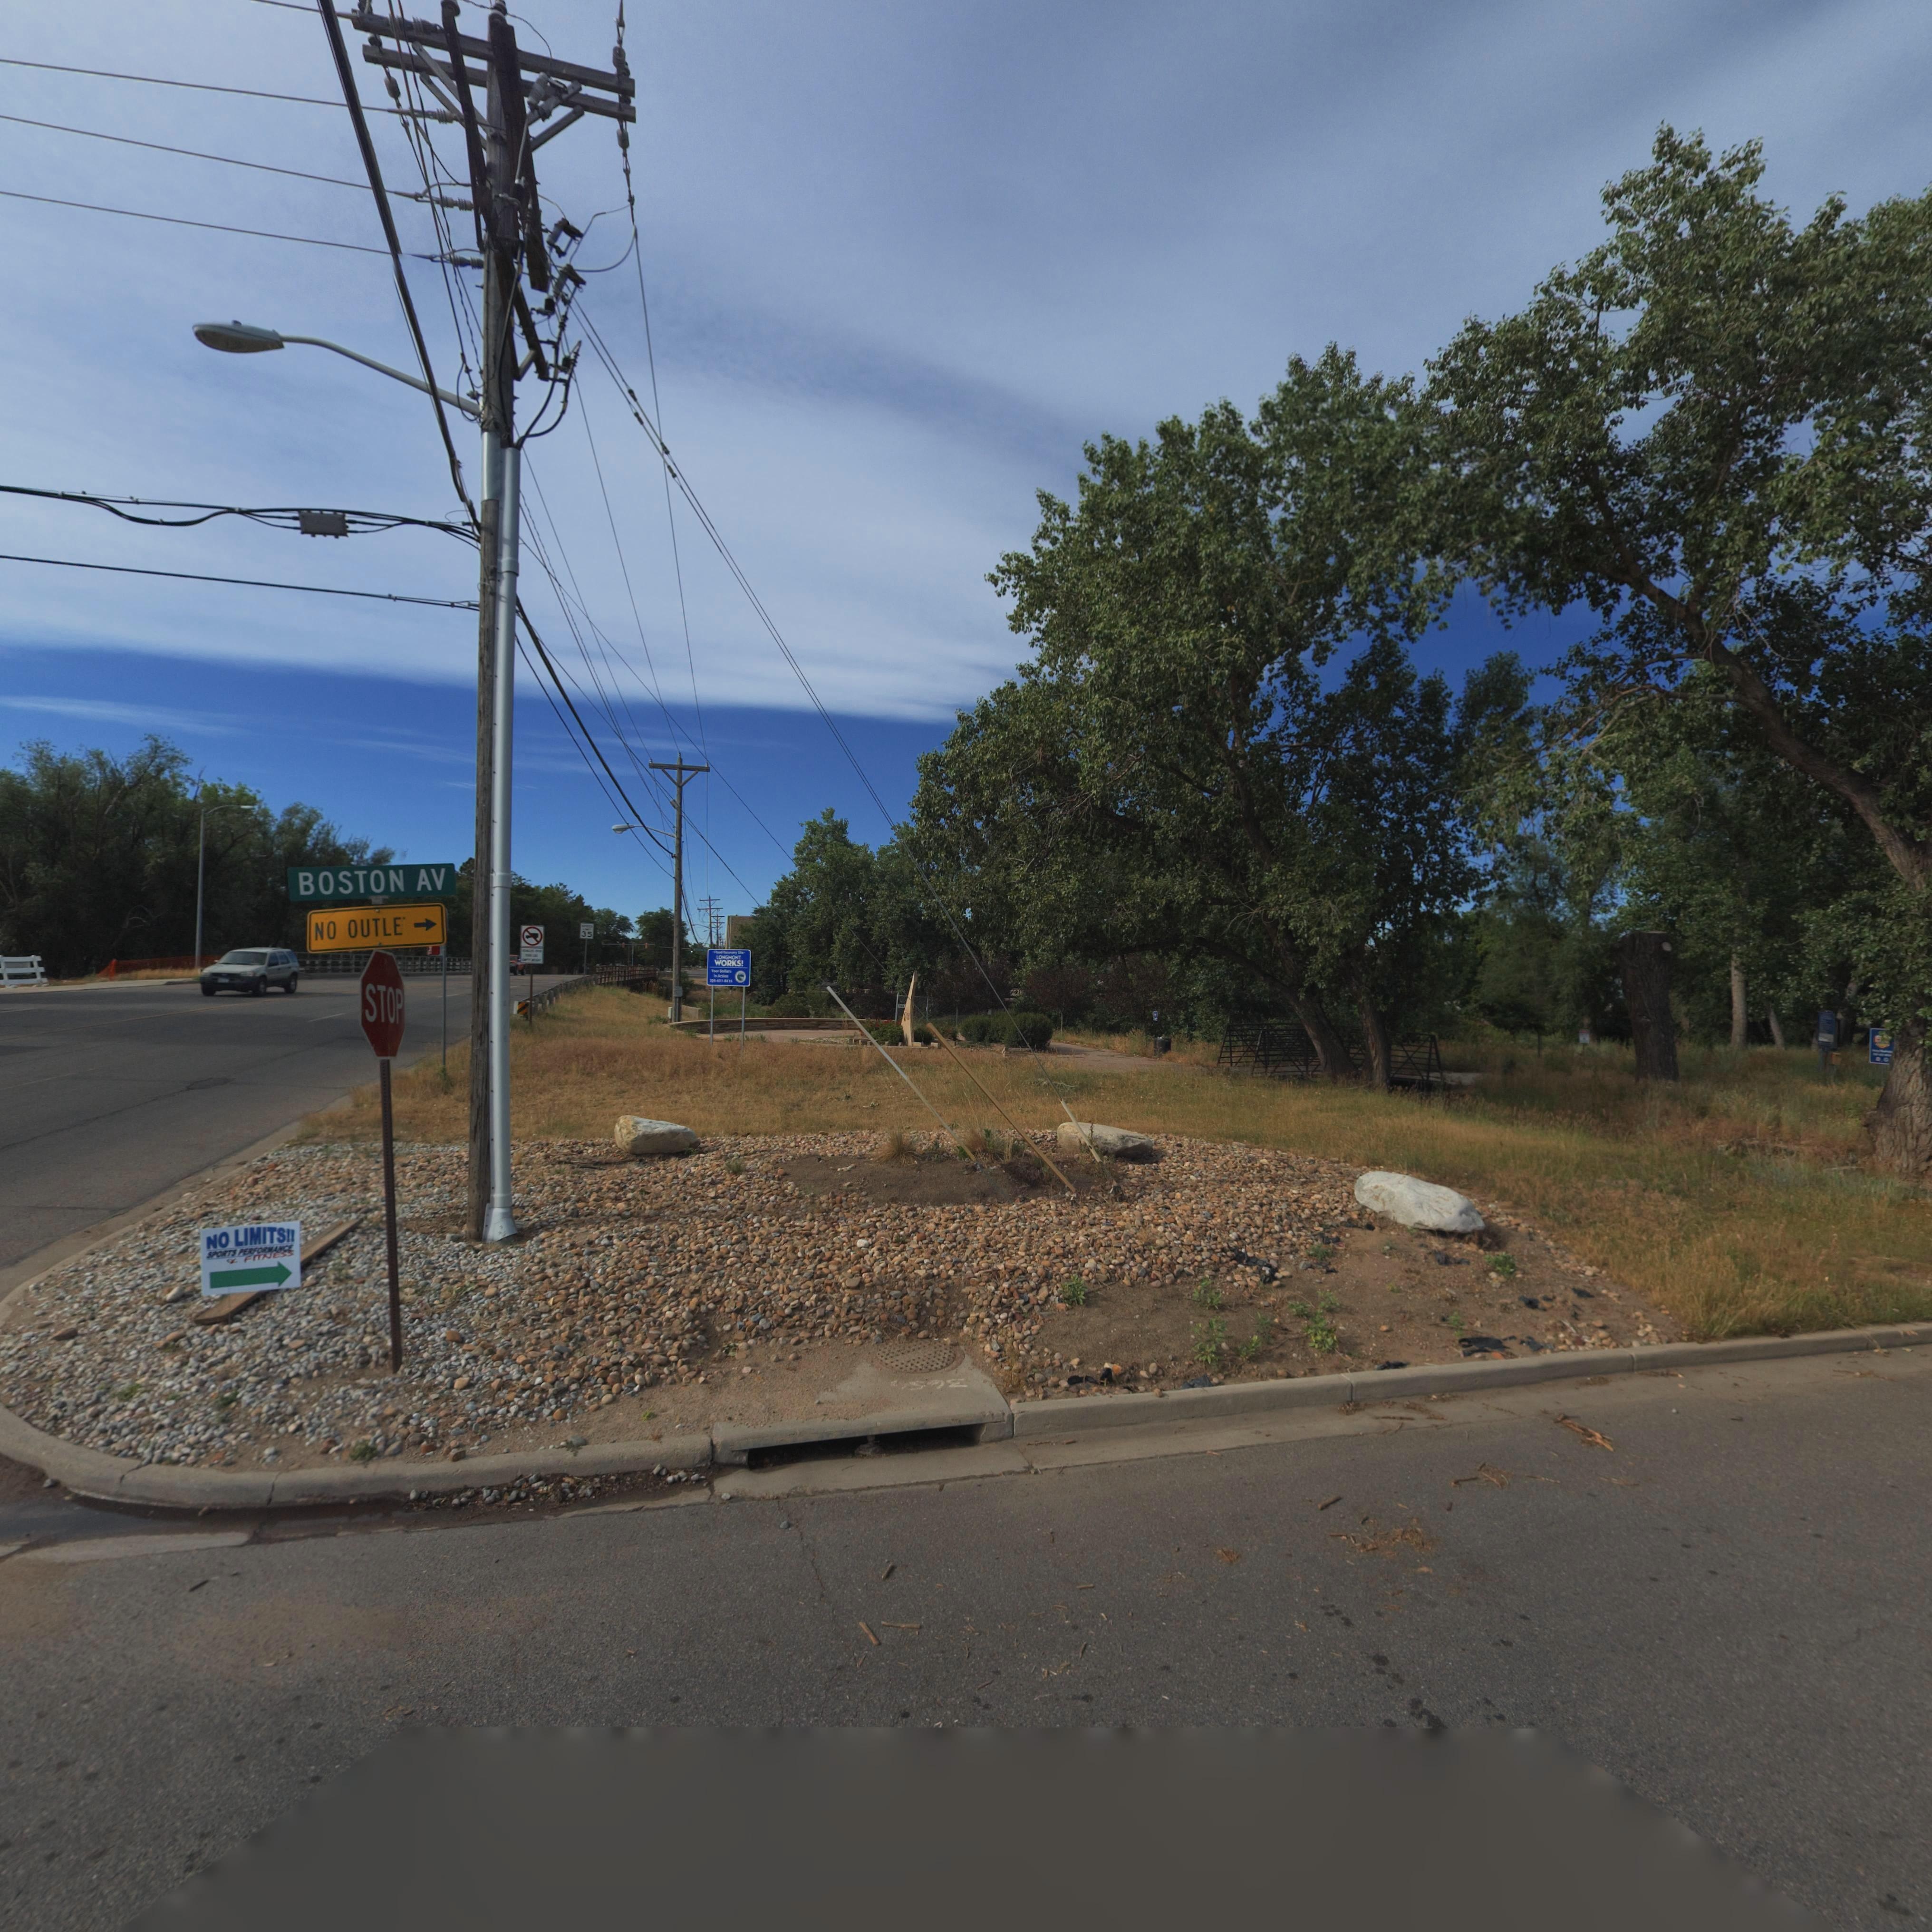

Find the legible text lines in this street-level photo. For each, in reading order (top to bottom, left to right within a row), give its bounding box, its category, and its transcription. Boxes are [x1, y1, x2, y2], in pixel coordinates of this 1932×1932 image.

[298, 868, 446, 895] StreetName: BOSTON AV